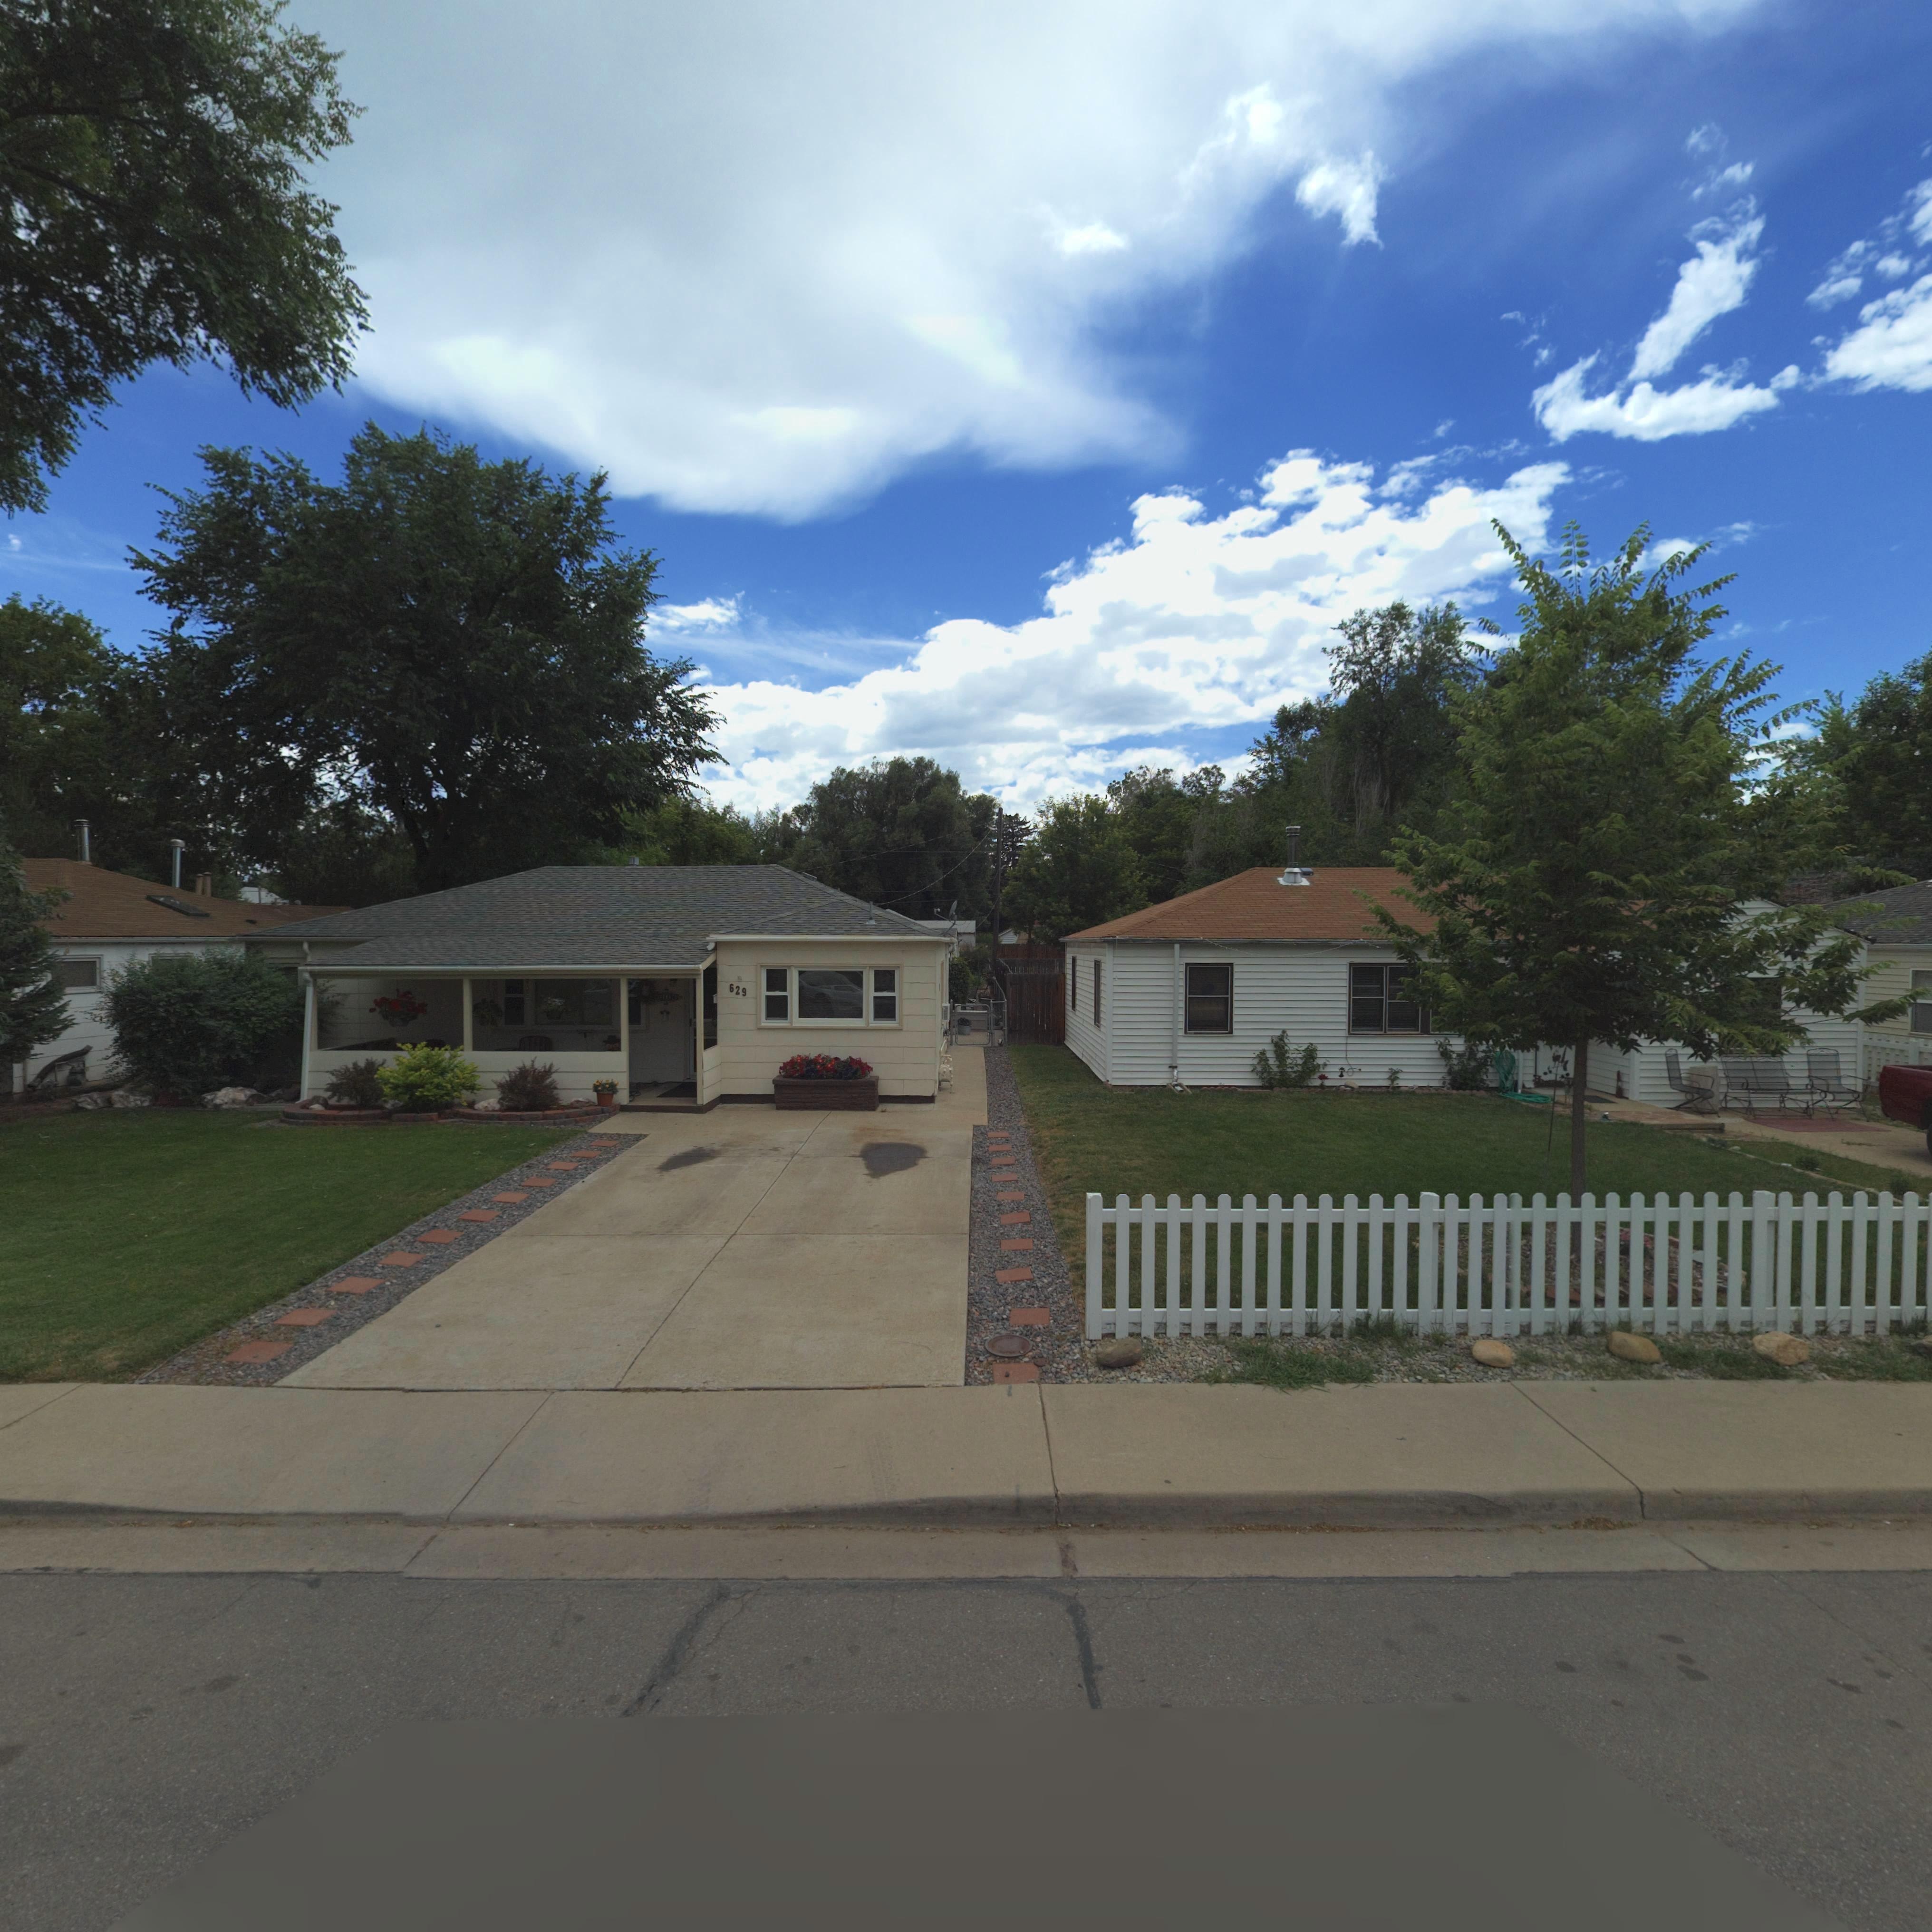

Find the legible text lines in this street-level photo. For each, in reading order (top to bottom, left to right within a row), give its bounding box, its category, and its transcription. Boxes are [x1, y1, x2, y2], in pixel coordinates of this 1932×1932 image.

[729, 983, 746, 996] StreetNumber: 629